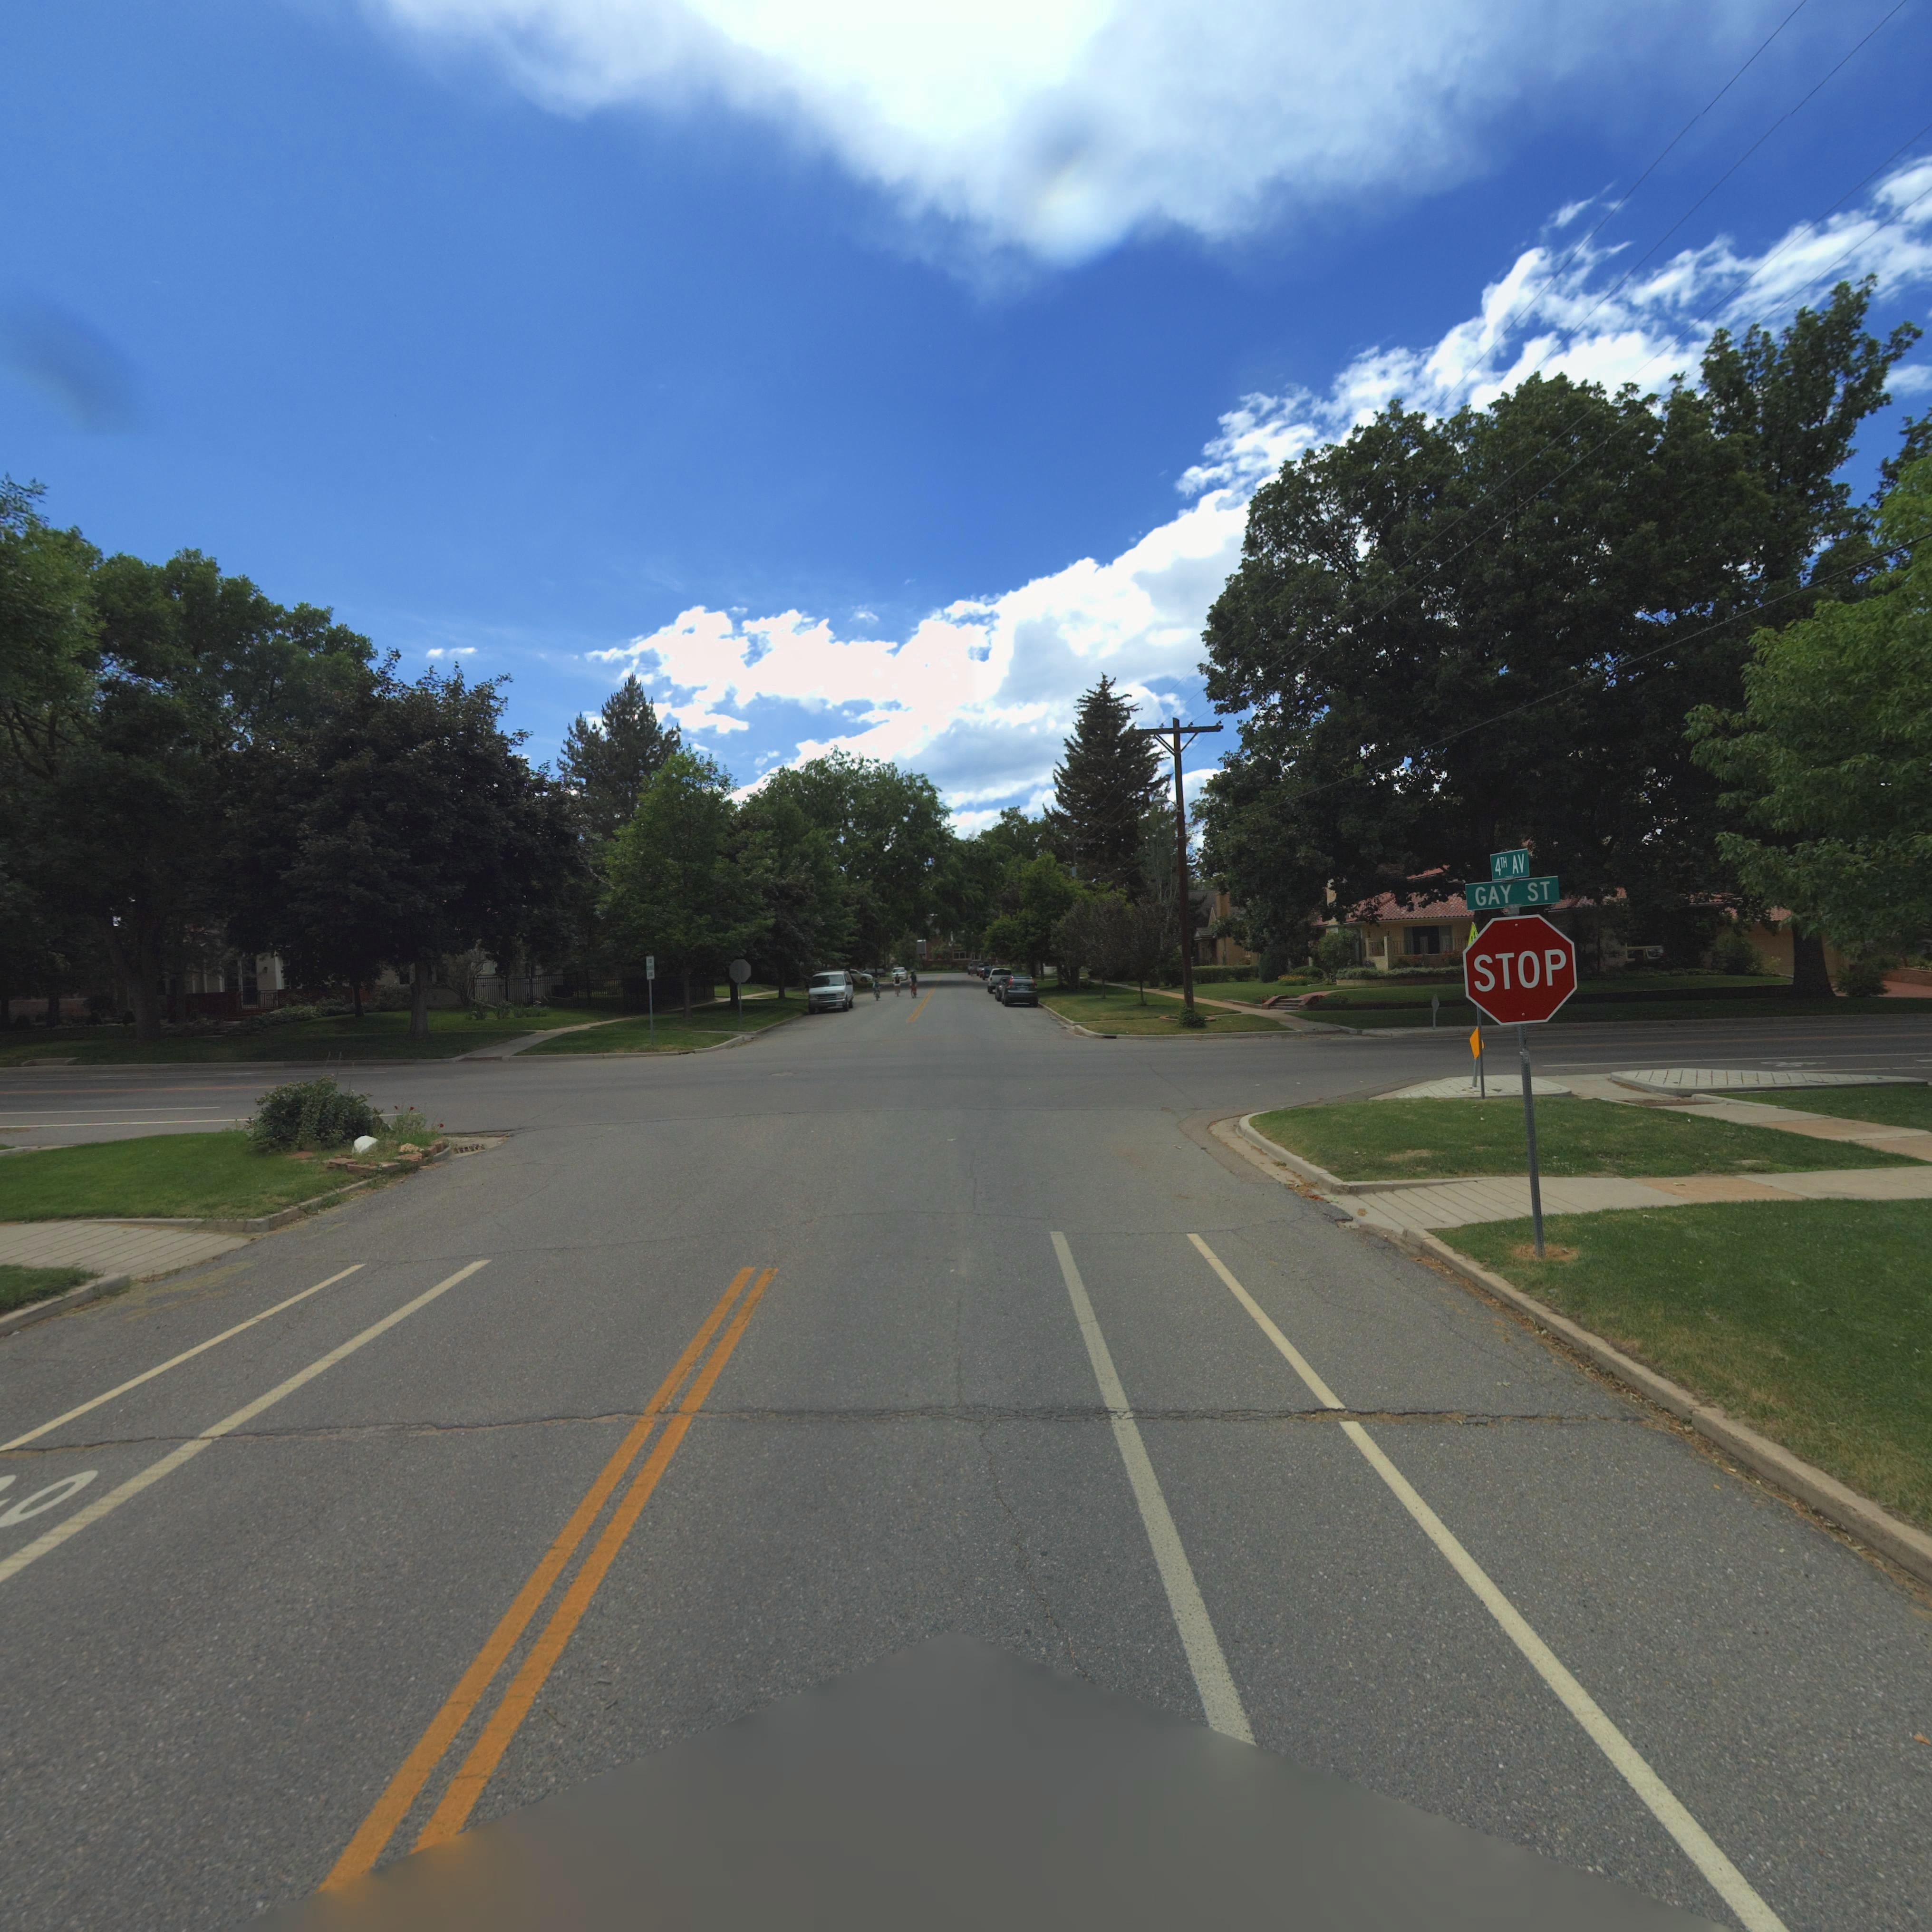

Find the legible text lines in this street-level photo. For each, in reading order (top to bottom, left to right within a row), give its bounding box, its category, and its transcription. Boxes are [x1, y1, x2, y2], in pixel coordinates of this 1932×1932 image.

[1494, 853, 1524, 876] StreetName: 4TH AV
[1474, 880, 1550, 907] StreetName: GAY ST